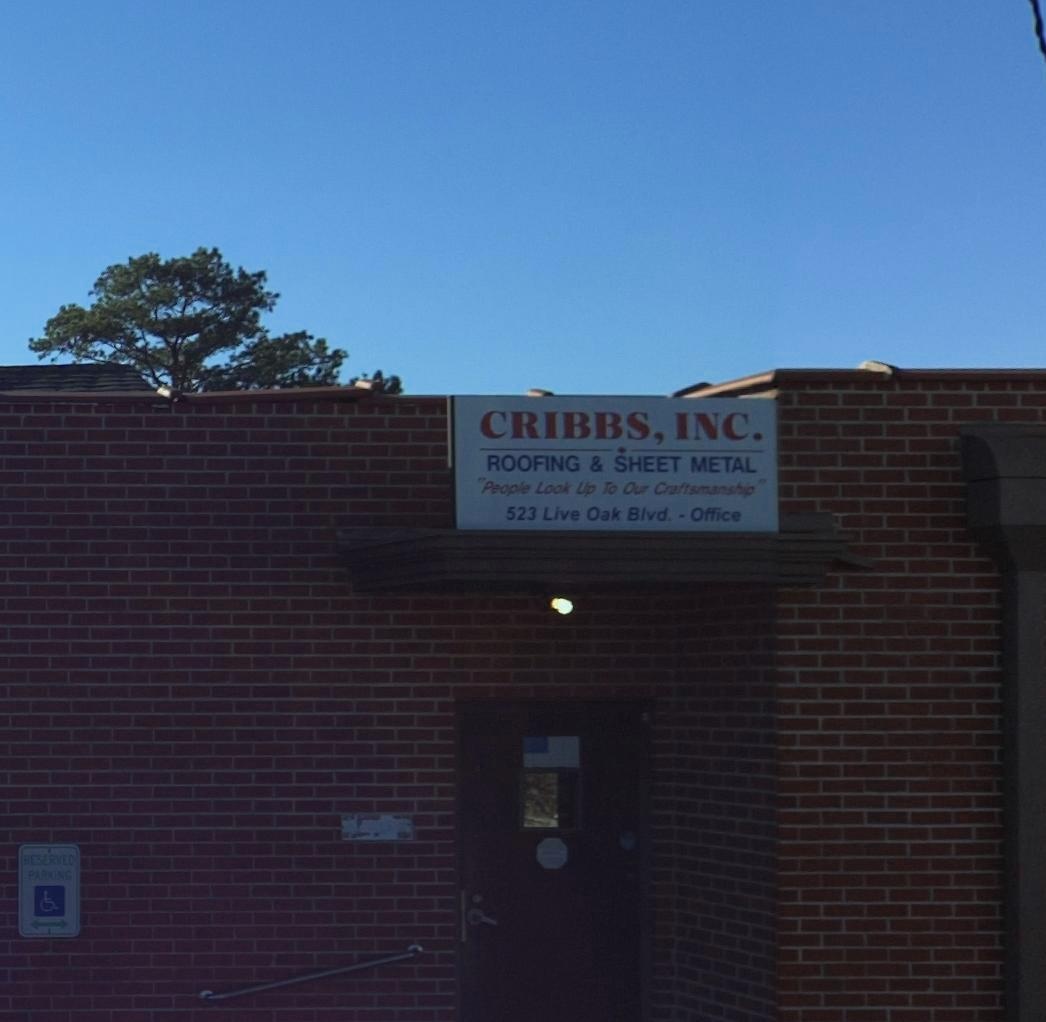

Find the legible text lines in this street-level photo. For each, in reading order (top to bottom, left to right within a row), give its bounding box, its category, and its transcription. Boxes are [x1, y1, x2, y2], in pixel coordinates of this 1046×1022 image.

[476, 406, 766, 448] BusinessName: CRIBBS, INC.
[484, 452, 762, 476] None: ROOFING & SHEET METAL
[477, 477, 759, 502] None: People Look Up To Our Craftsmanship
[504, 503, 538, 523] StreetNumber: 523
[539, 502, 676, 526] StreetName: Live Oak Blvd.
[687, 502, 743, 524] None: Office
[21, 852, 78, 869] None: RESERVED
[25, 868, 75, 883] None: PARKING